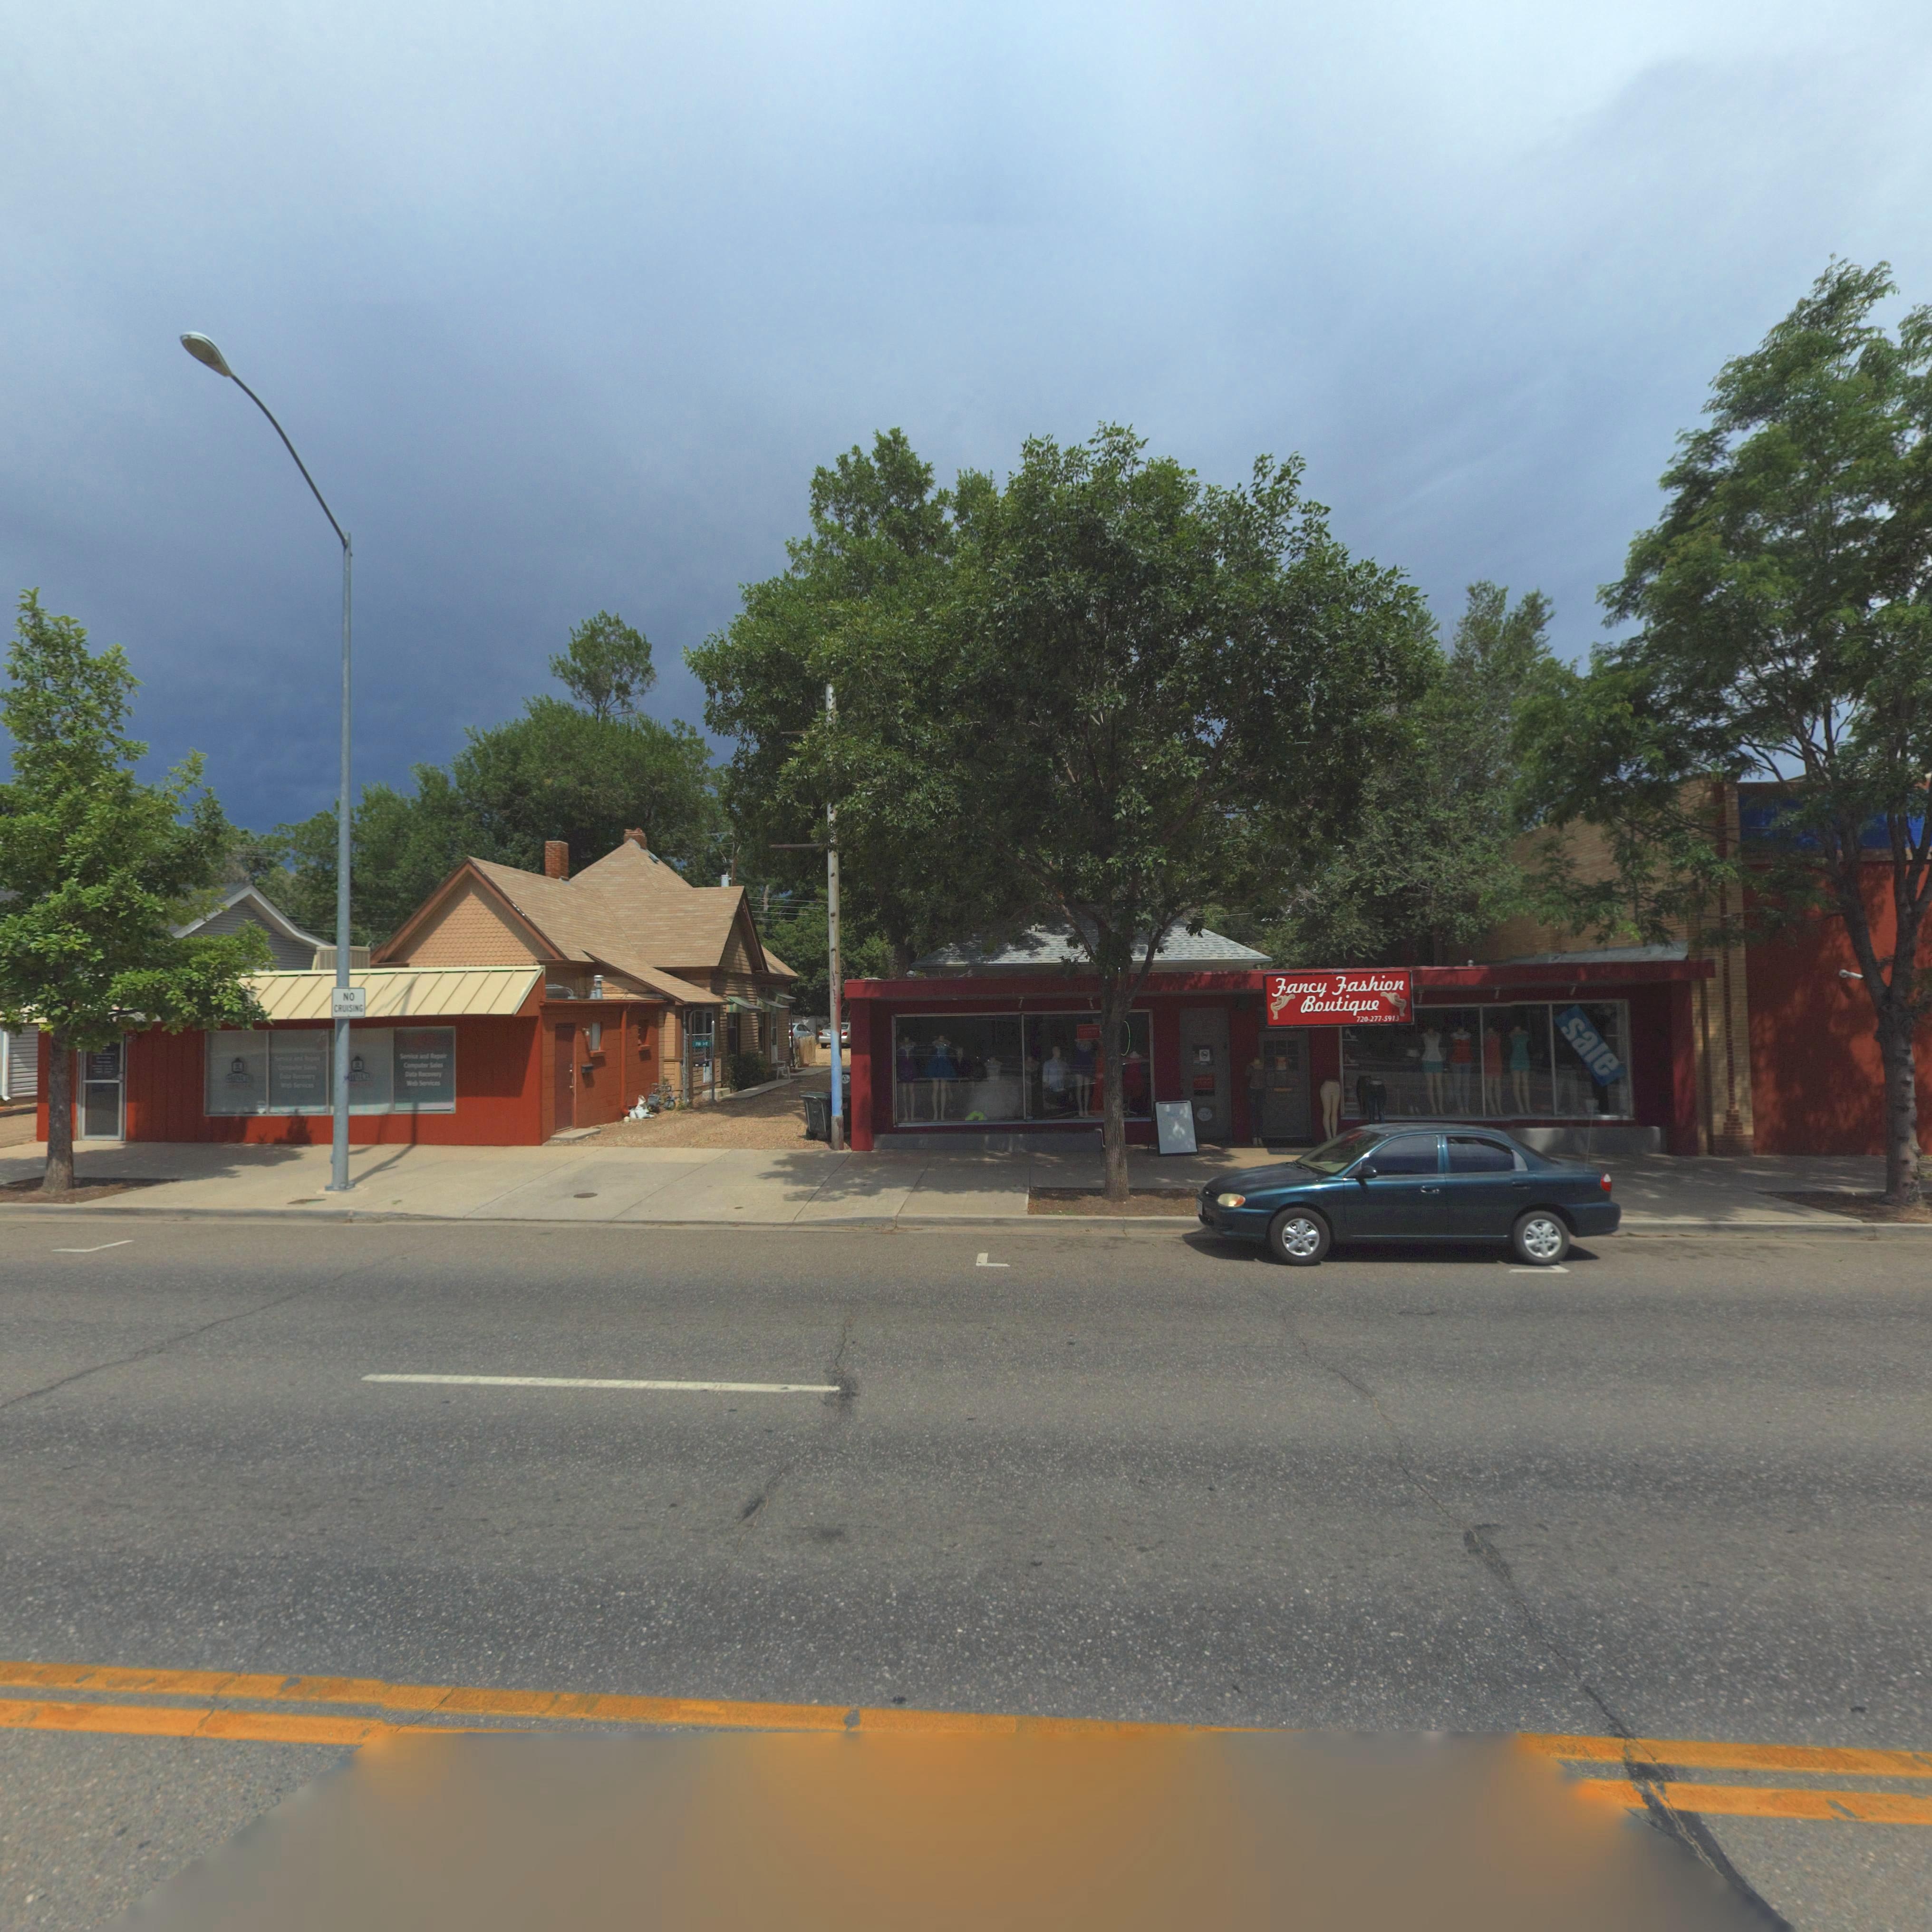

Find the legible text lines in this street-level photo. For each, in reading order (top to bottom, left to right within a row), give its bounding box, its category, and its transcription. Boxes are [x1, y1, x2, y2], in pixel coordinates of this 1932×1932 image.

[1271, 974, 1405, 998] StreetNumber: Fancy Fshion
[1300, 994, 1380, 1016] BusinessName: Boutique
[225, 1072, 251, 1082] BusinessName: C*T*ZE*S
[349, 1071, 371, 1081] BusinessName: ITIZENS